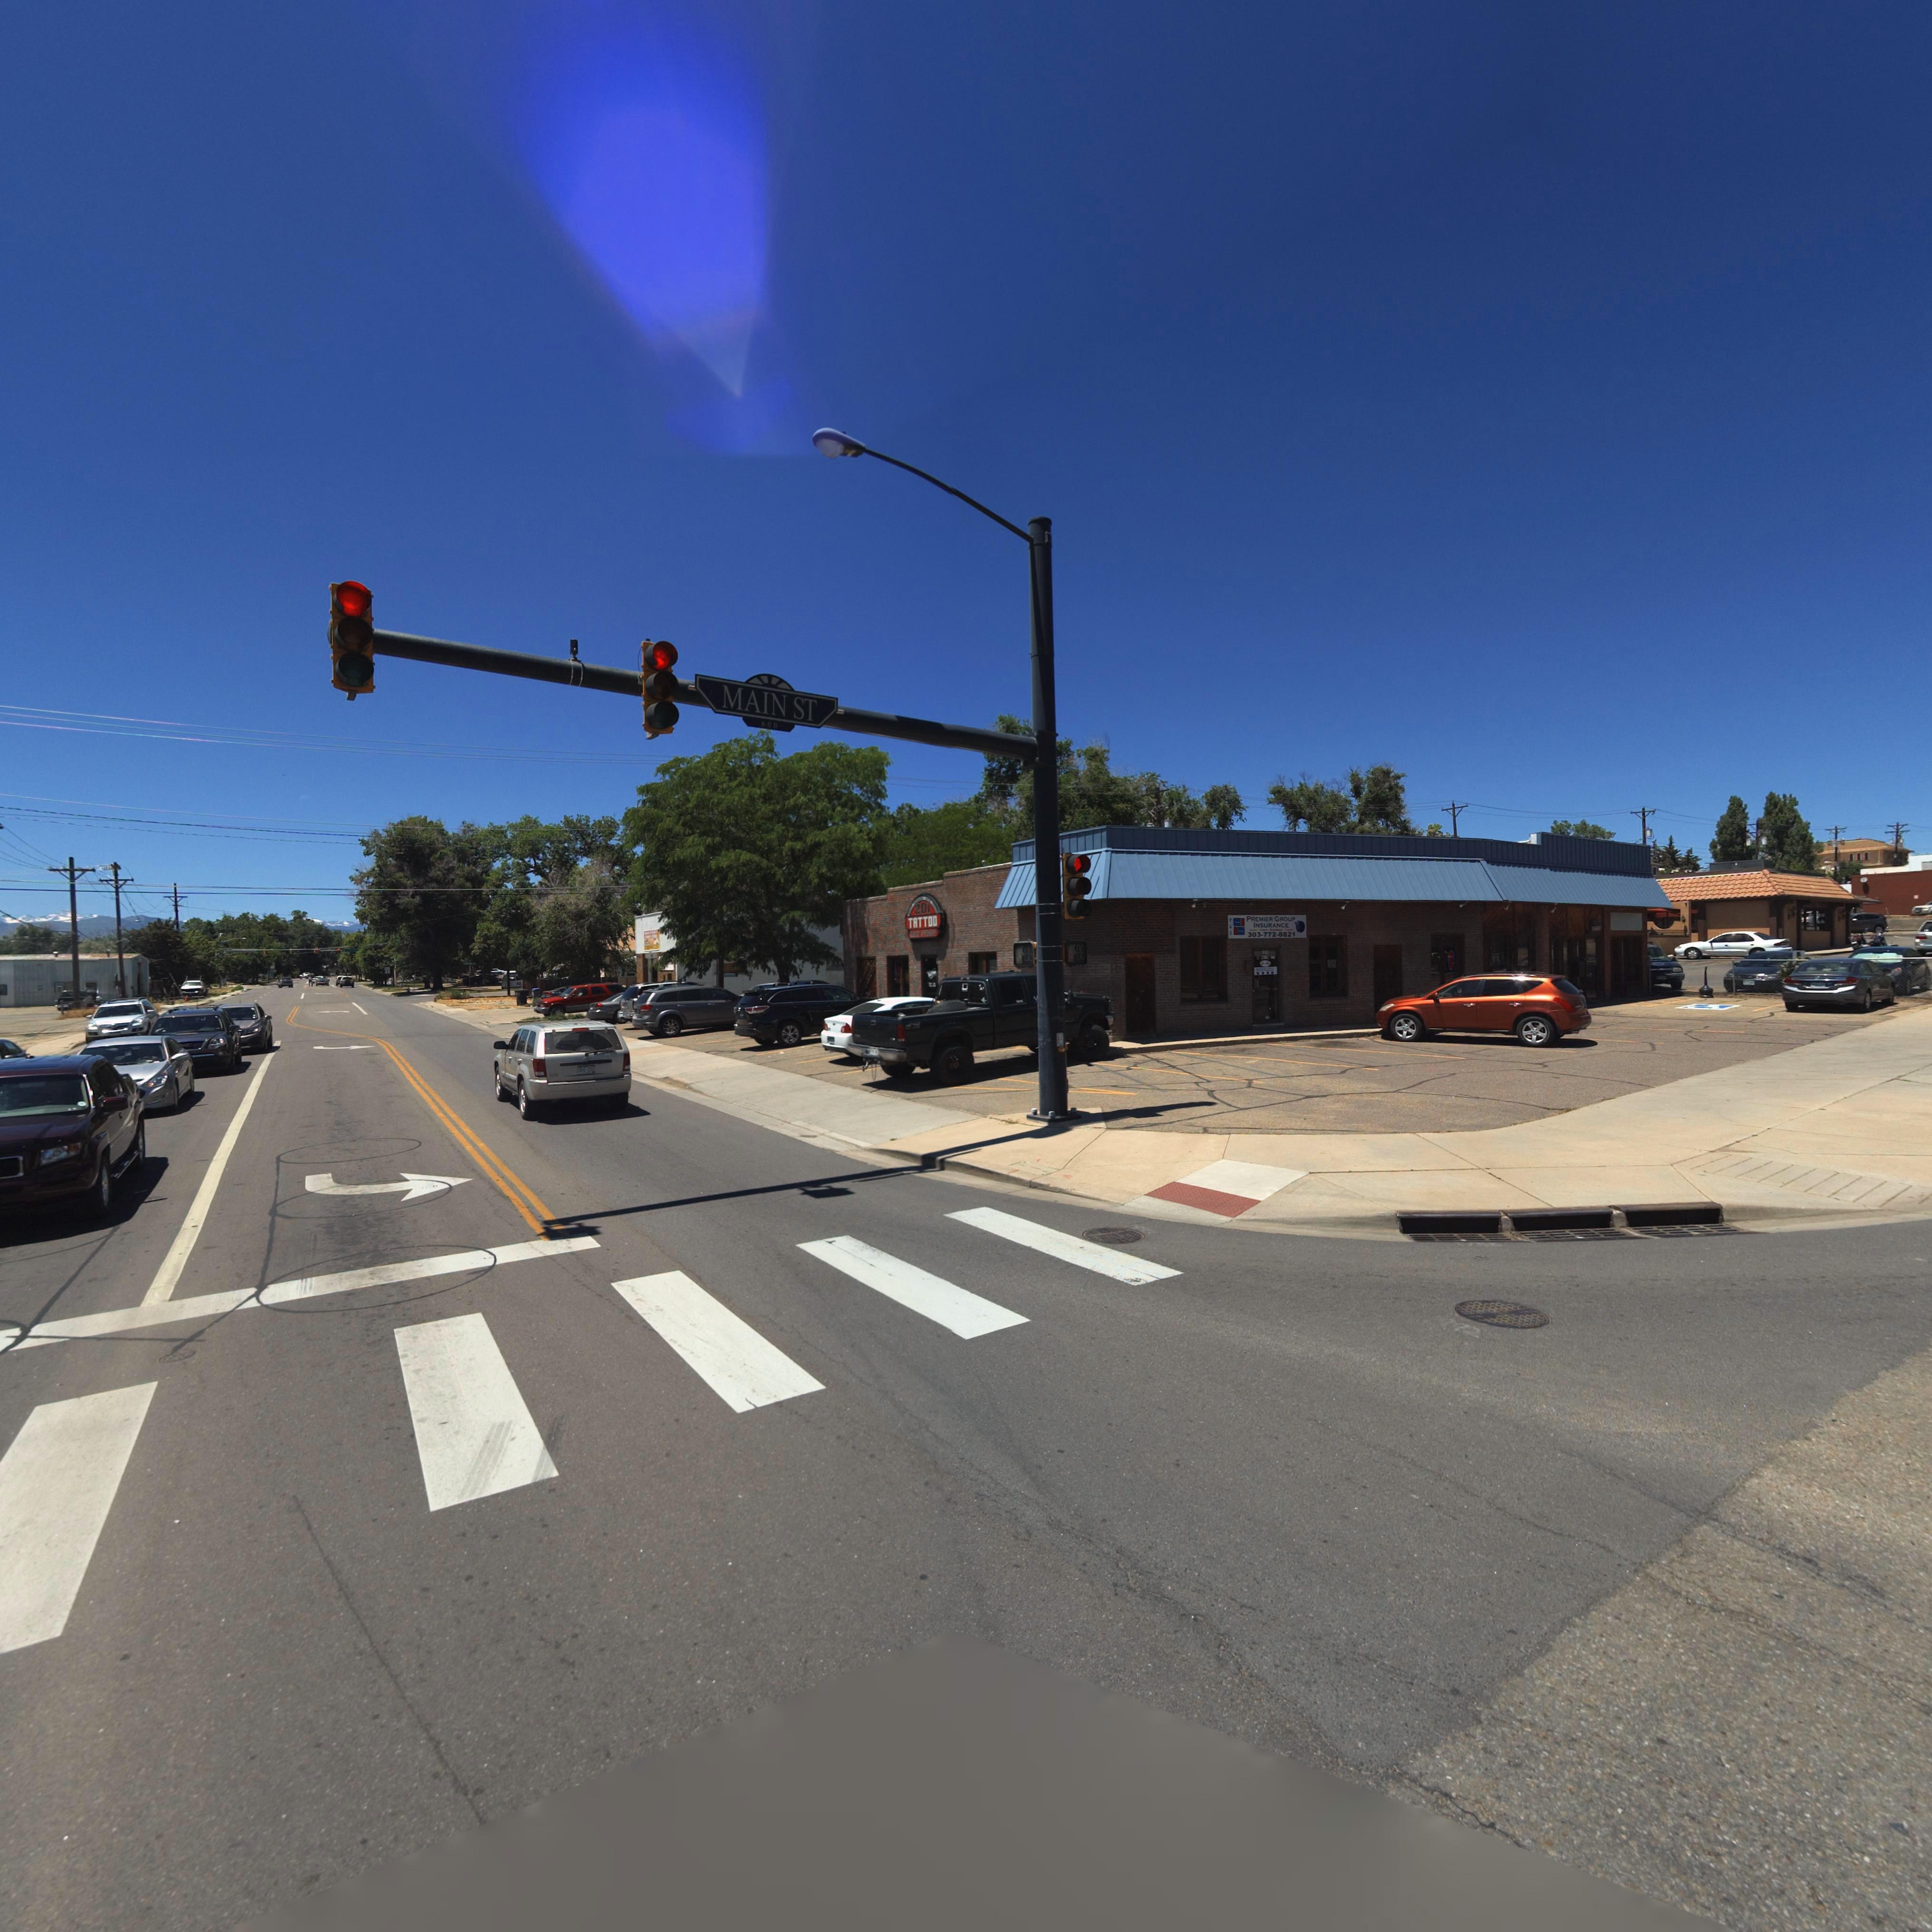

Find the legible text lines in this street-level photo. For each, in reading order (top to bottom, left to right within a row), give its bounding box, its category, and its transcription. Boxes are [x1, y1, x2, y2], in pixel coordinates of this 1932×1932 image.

[722, 684, 817, 722] StreetName: MAIN ST
[760, 719, 778, 730] StreetNumberRange: 600
[915, 902, 930, 914] StreetNumber: 201
[907, 915, 937, 928] BusinessName: TATTOO
[1229, 917, 1232, 936] BusinessName: P*I
[1246, 915, 1295, 922] BusinessName: PREMIER GROUP
[1254, 922, 1289, 928] BusinessName: INSURANCE
[916, 929, 936, 936] BusinessName: N S**EE*
[1261, 955, 1269, 959] StreetName: *AI*